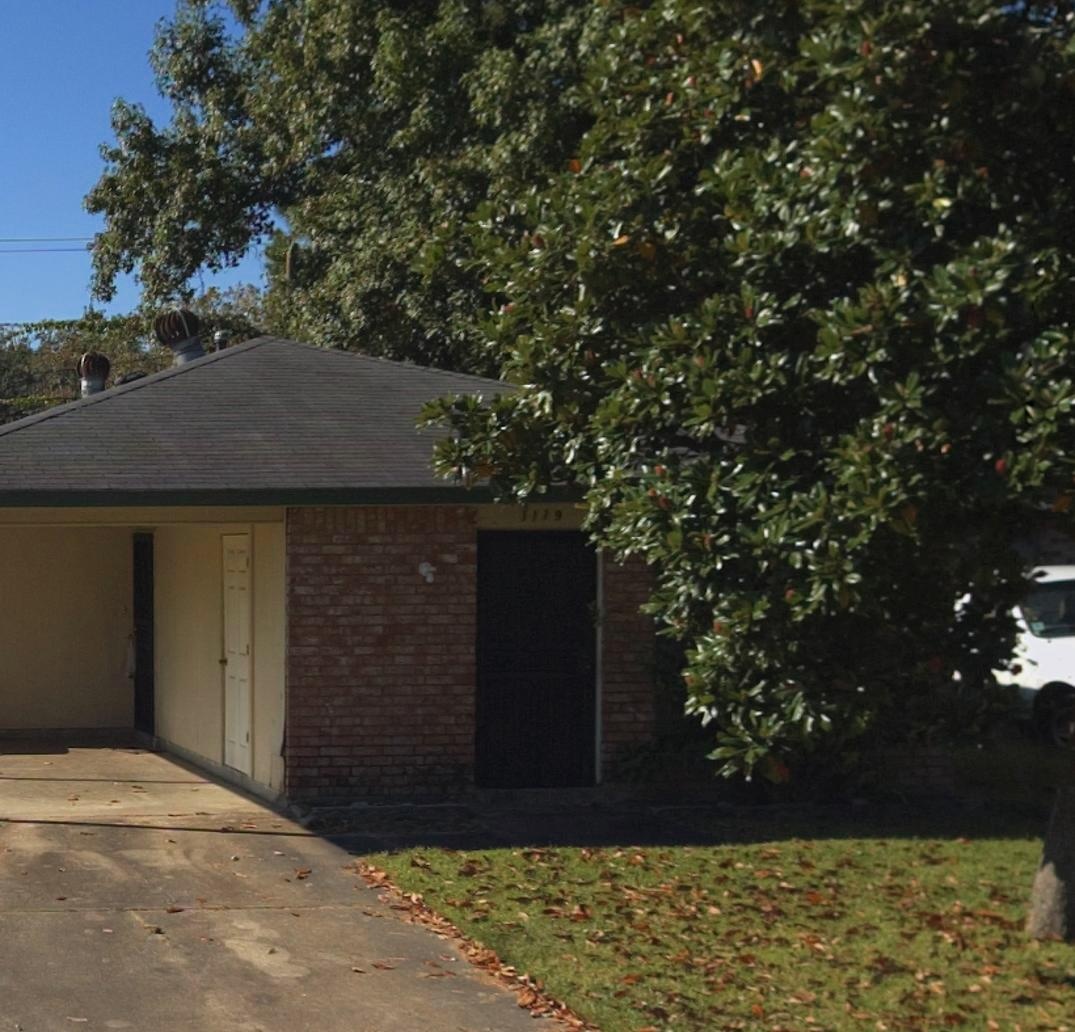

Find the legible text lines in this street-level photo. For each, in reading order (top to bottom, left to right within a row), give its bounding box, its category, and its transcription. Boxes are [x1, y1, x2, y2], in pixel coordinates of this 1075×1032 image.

[520, 508, 563, 521] StreetNumber: 1119